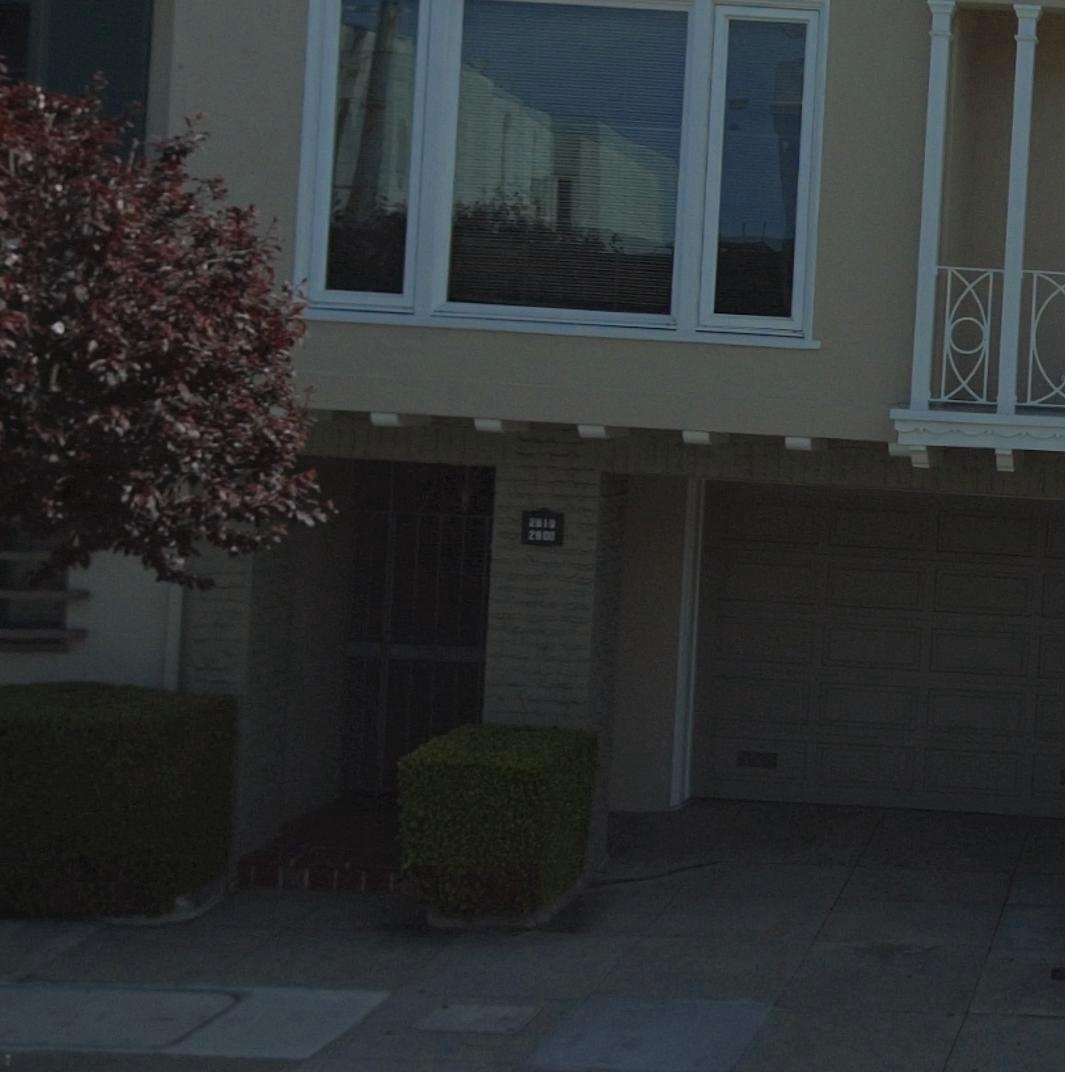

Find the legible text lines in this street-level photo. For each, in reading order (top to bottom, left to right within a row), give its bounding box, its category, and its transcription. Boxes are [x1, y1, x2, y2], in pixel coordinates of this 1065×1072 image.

[528, 516, 557, 531] StreetNumber: 2810
[528, 528, 556, 543] StreetNumber: 2808